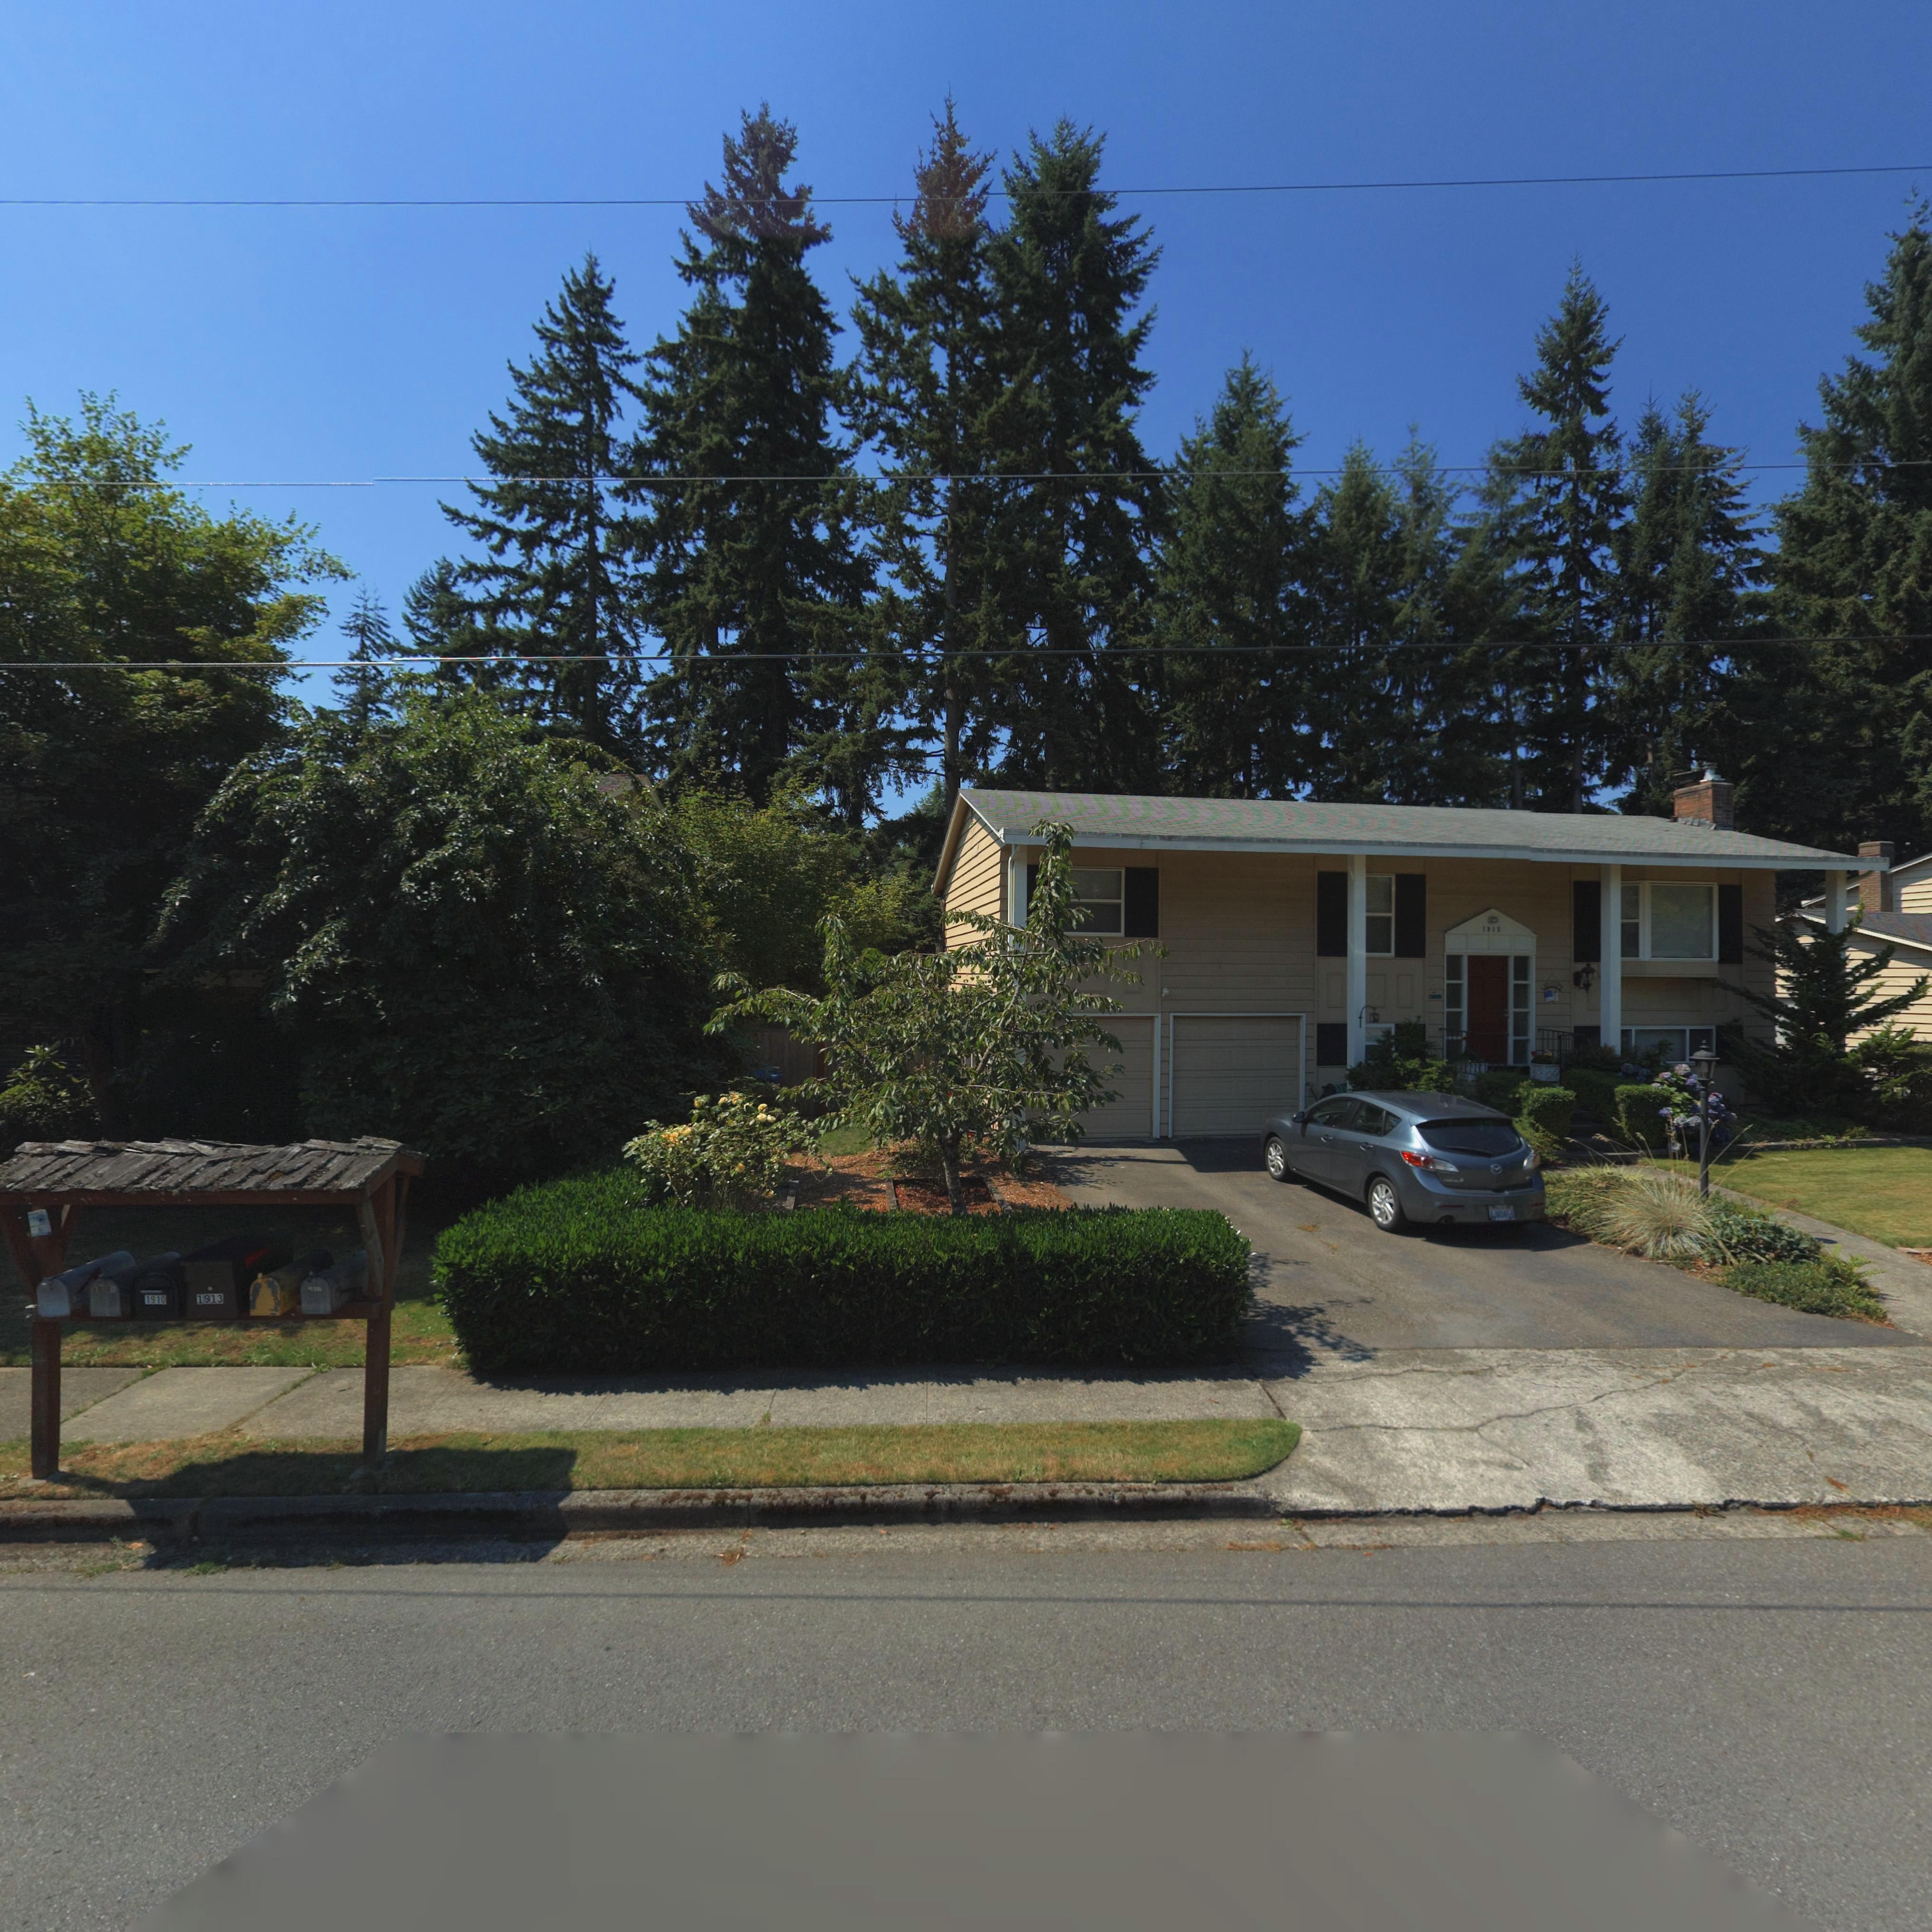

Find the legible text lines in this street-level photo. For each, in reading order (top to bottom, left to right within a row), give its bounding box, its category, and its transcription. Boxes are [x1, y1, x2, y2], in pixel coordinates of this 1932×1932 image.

[146, 1294, 166, 1304] StreetNumber: 191*
[196, 1293, 223, 1303] StreetNumber: 1913